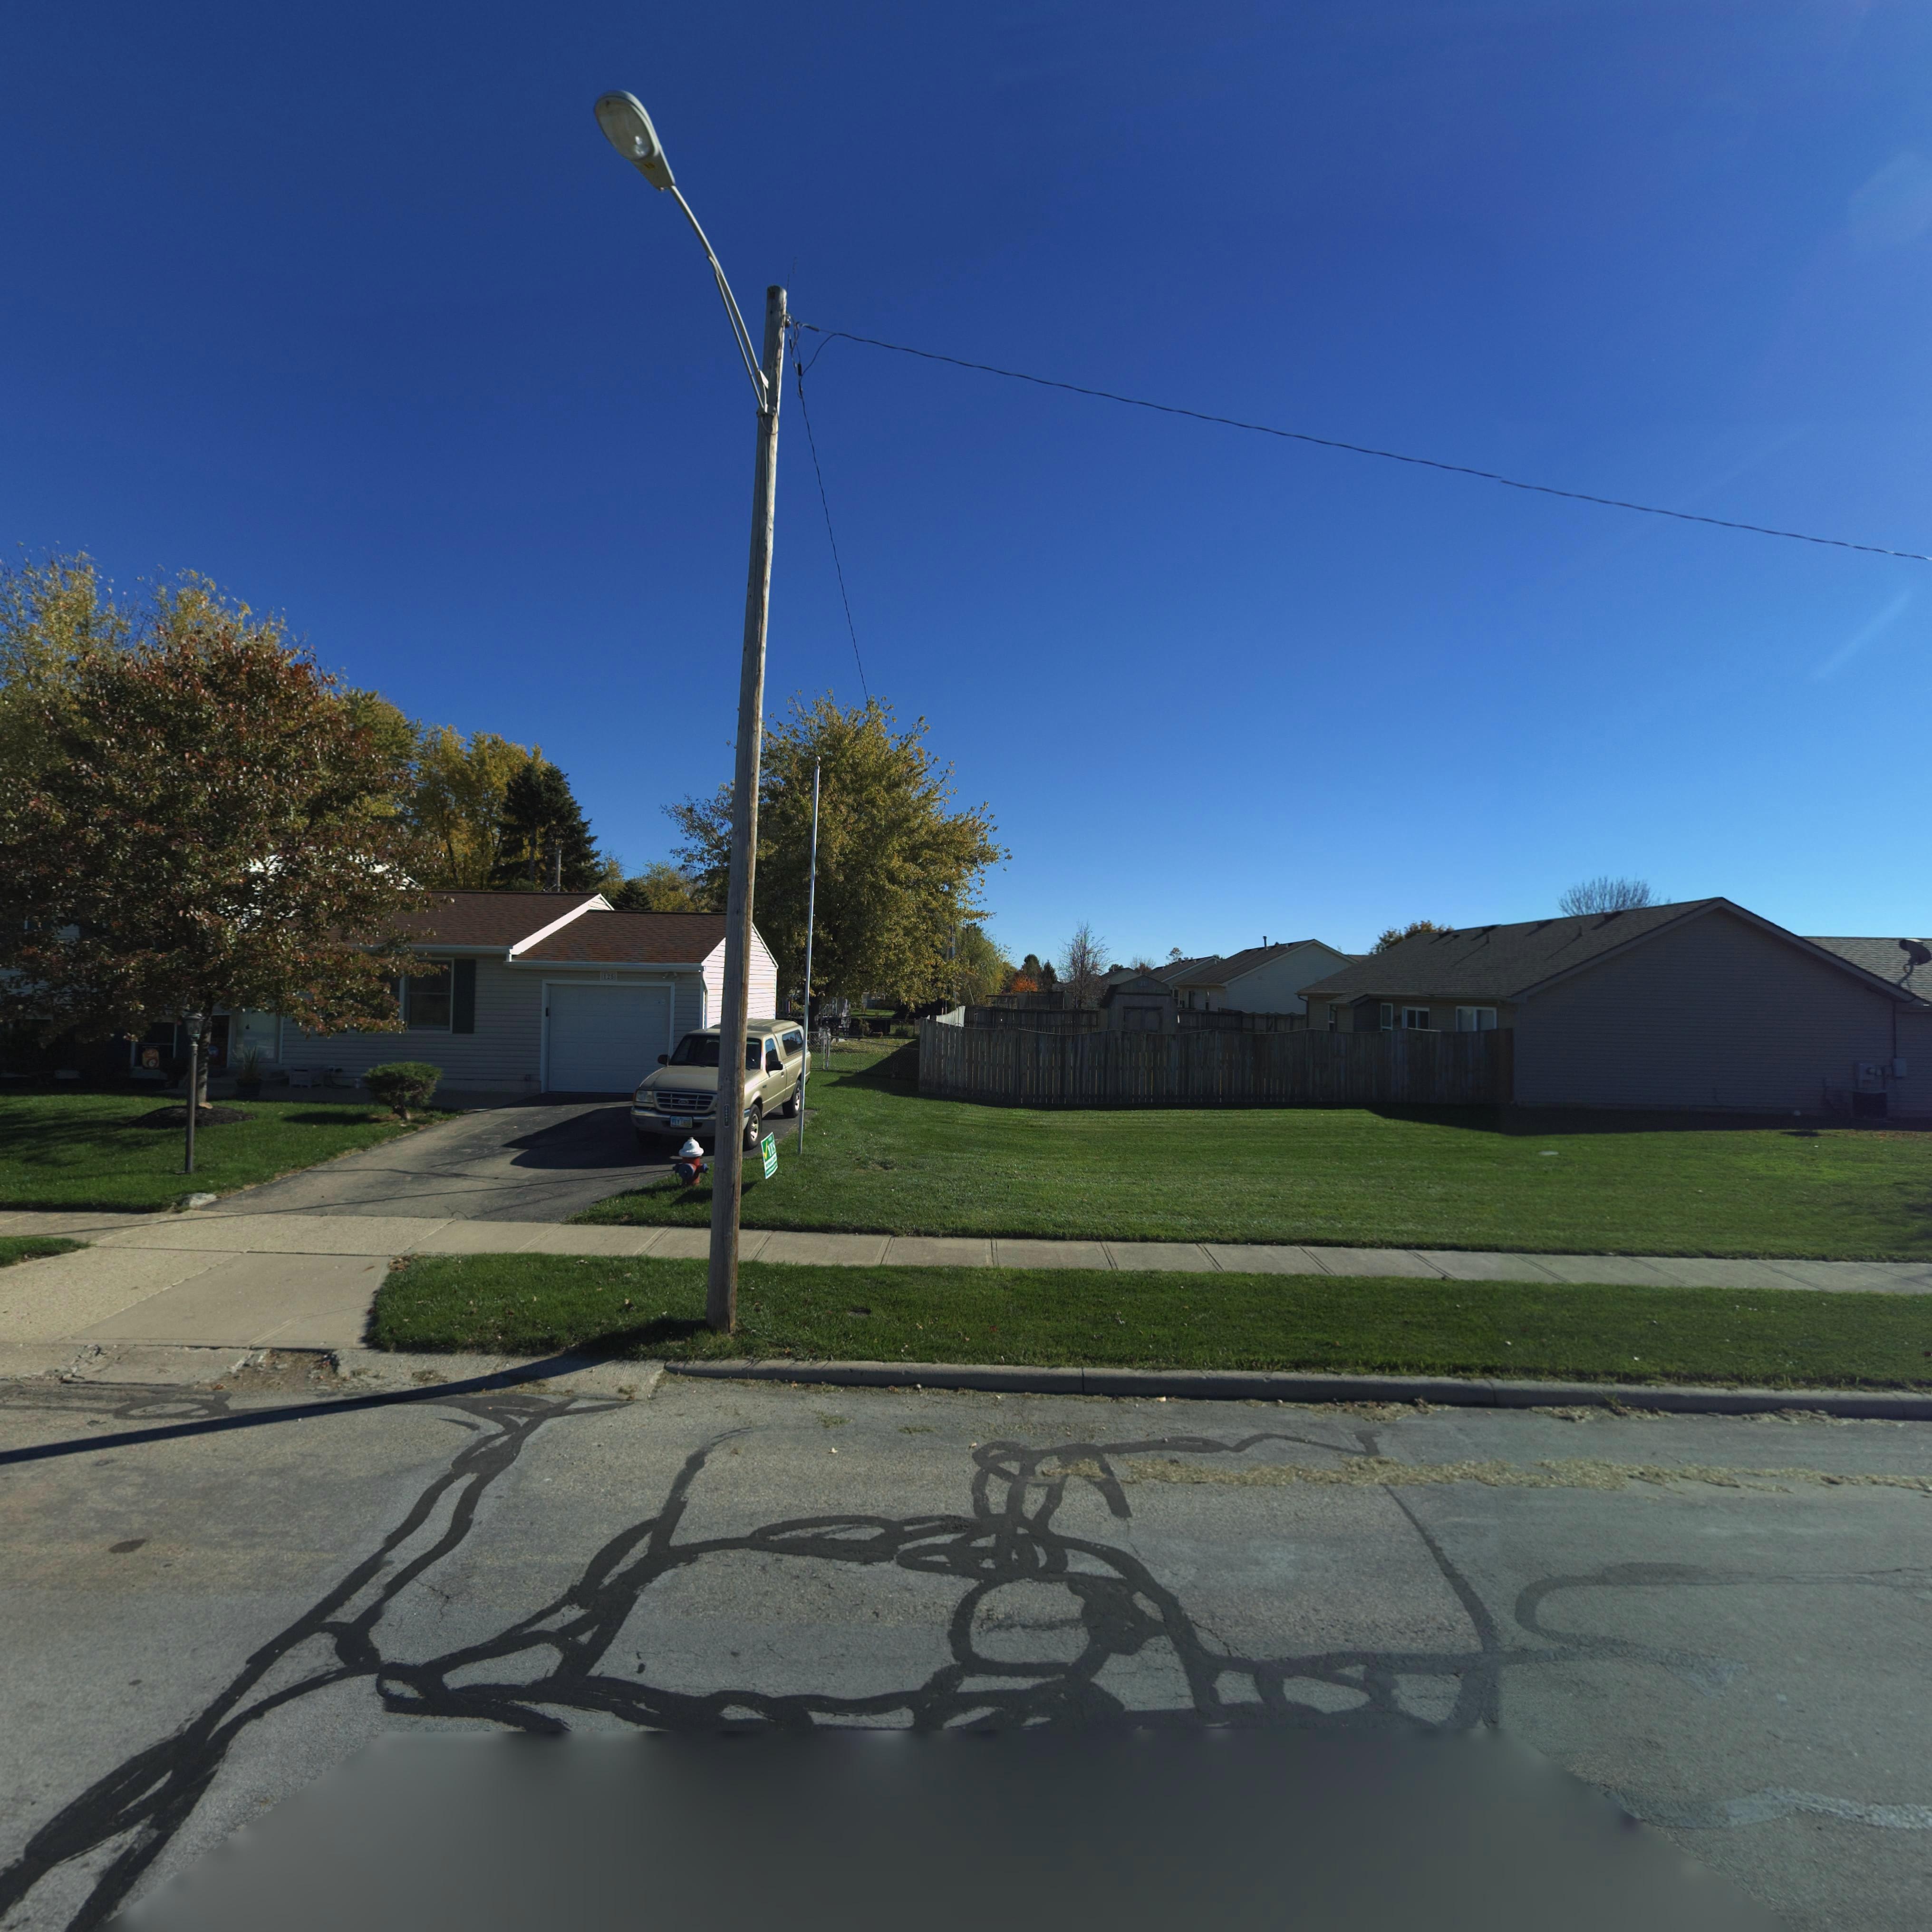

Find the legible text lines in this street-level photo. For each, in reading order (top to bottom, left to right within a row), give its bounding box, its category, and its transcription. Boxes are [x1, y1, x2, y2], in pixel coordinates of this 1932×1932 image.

[603, 974, 614, 980] StreetNumber: 125